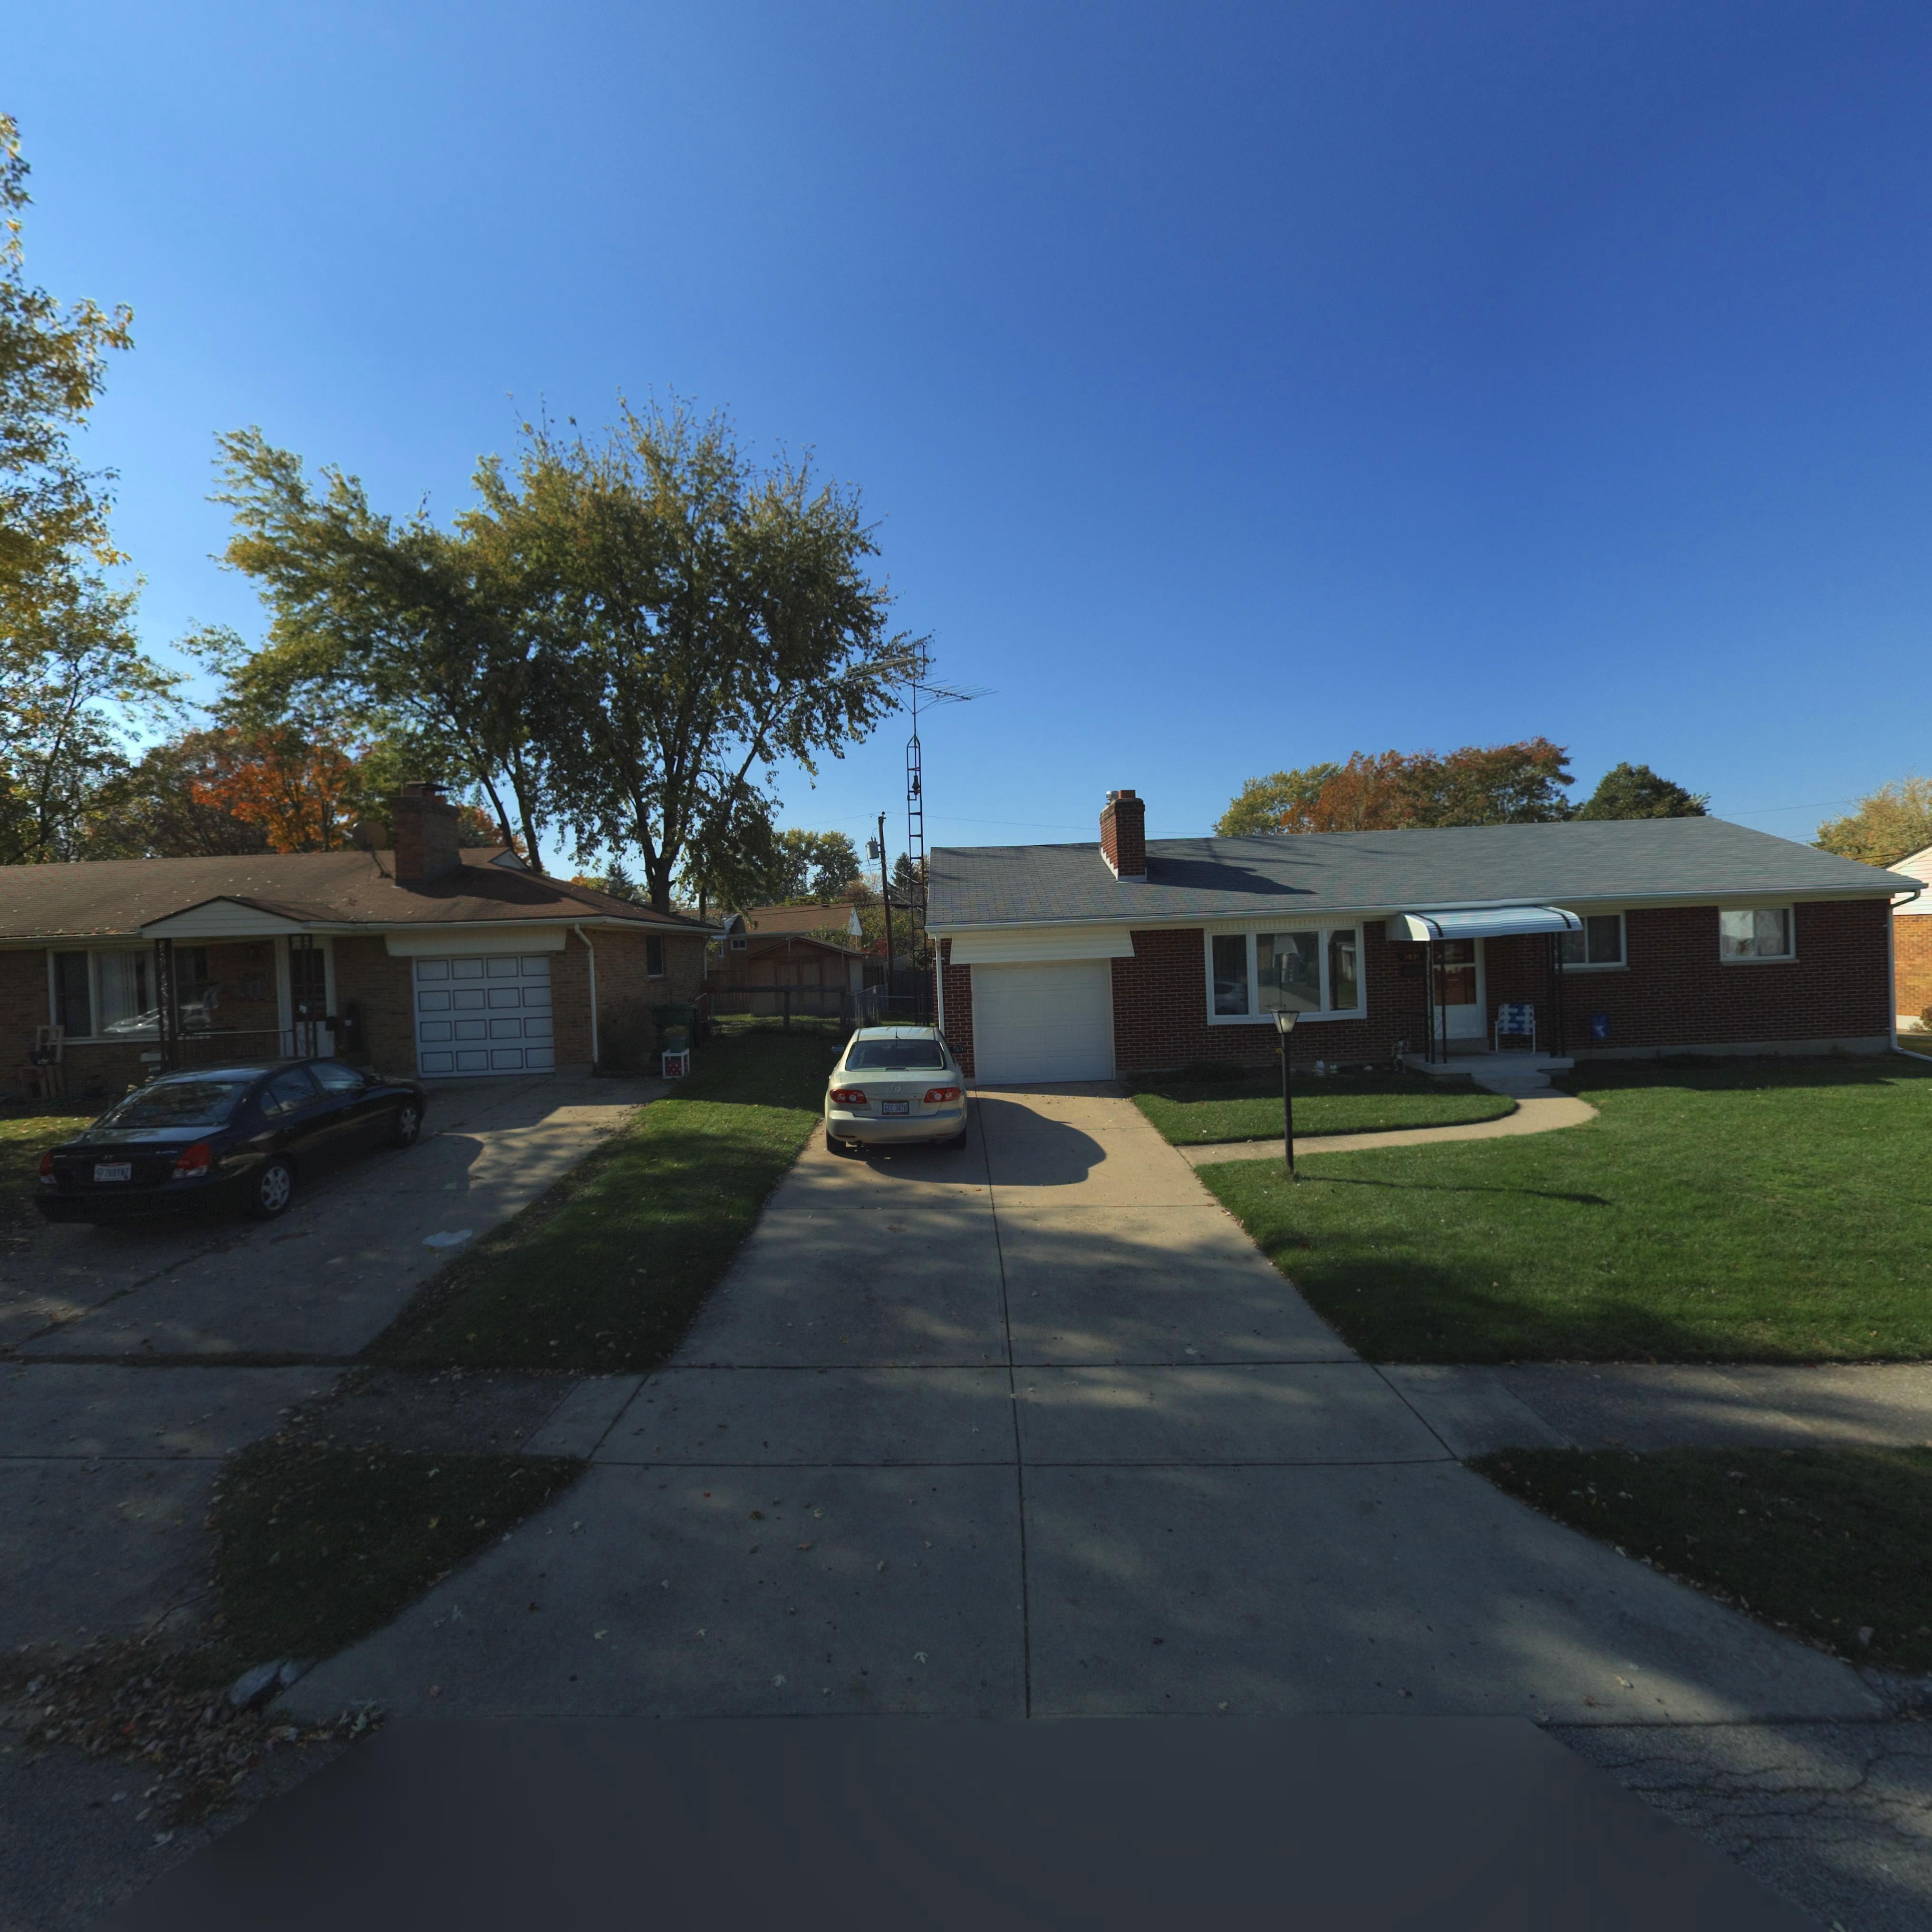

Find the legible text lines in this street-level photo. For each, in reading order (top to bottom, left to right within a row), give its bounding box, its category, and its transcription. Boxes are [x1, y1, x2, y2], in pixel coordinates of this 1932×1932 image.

[1403, 952, 1420, 961] StreetNumber: *831
[883, 1103, 908, 1113] None: GEC 3470
[103, 1167, 130, 1179] None: 769***